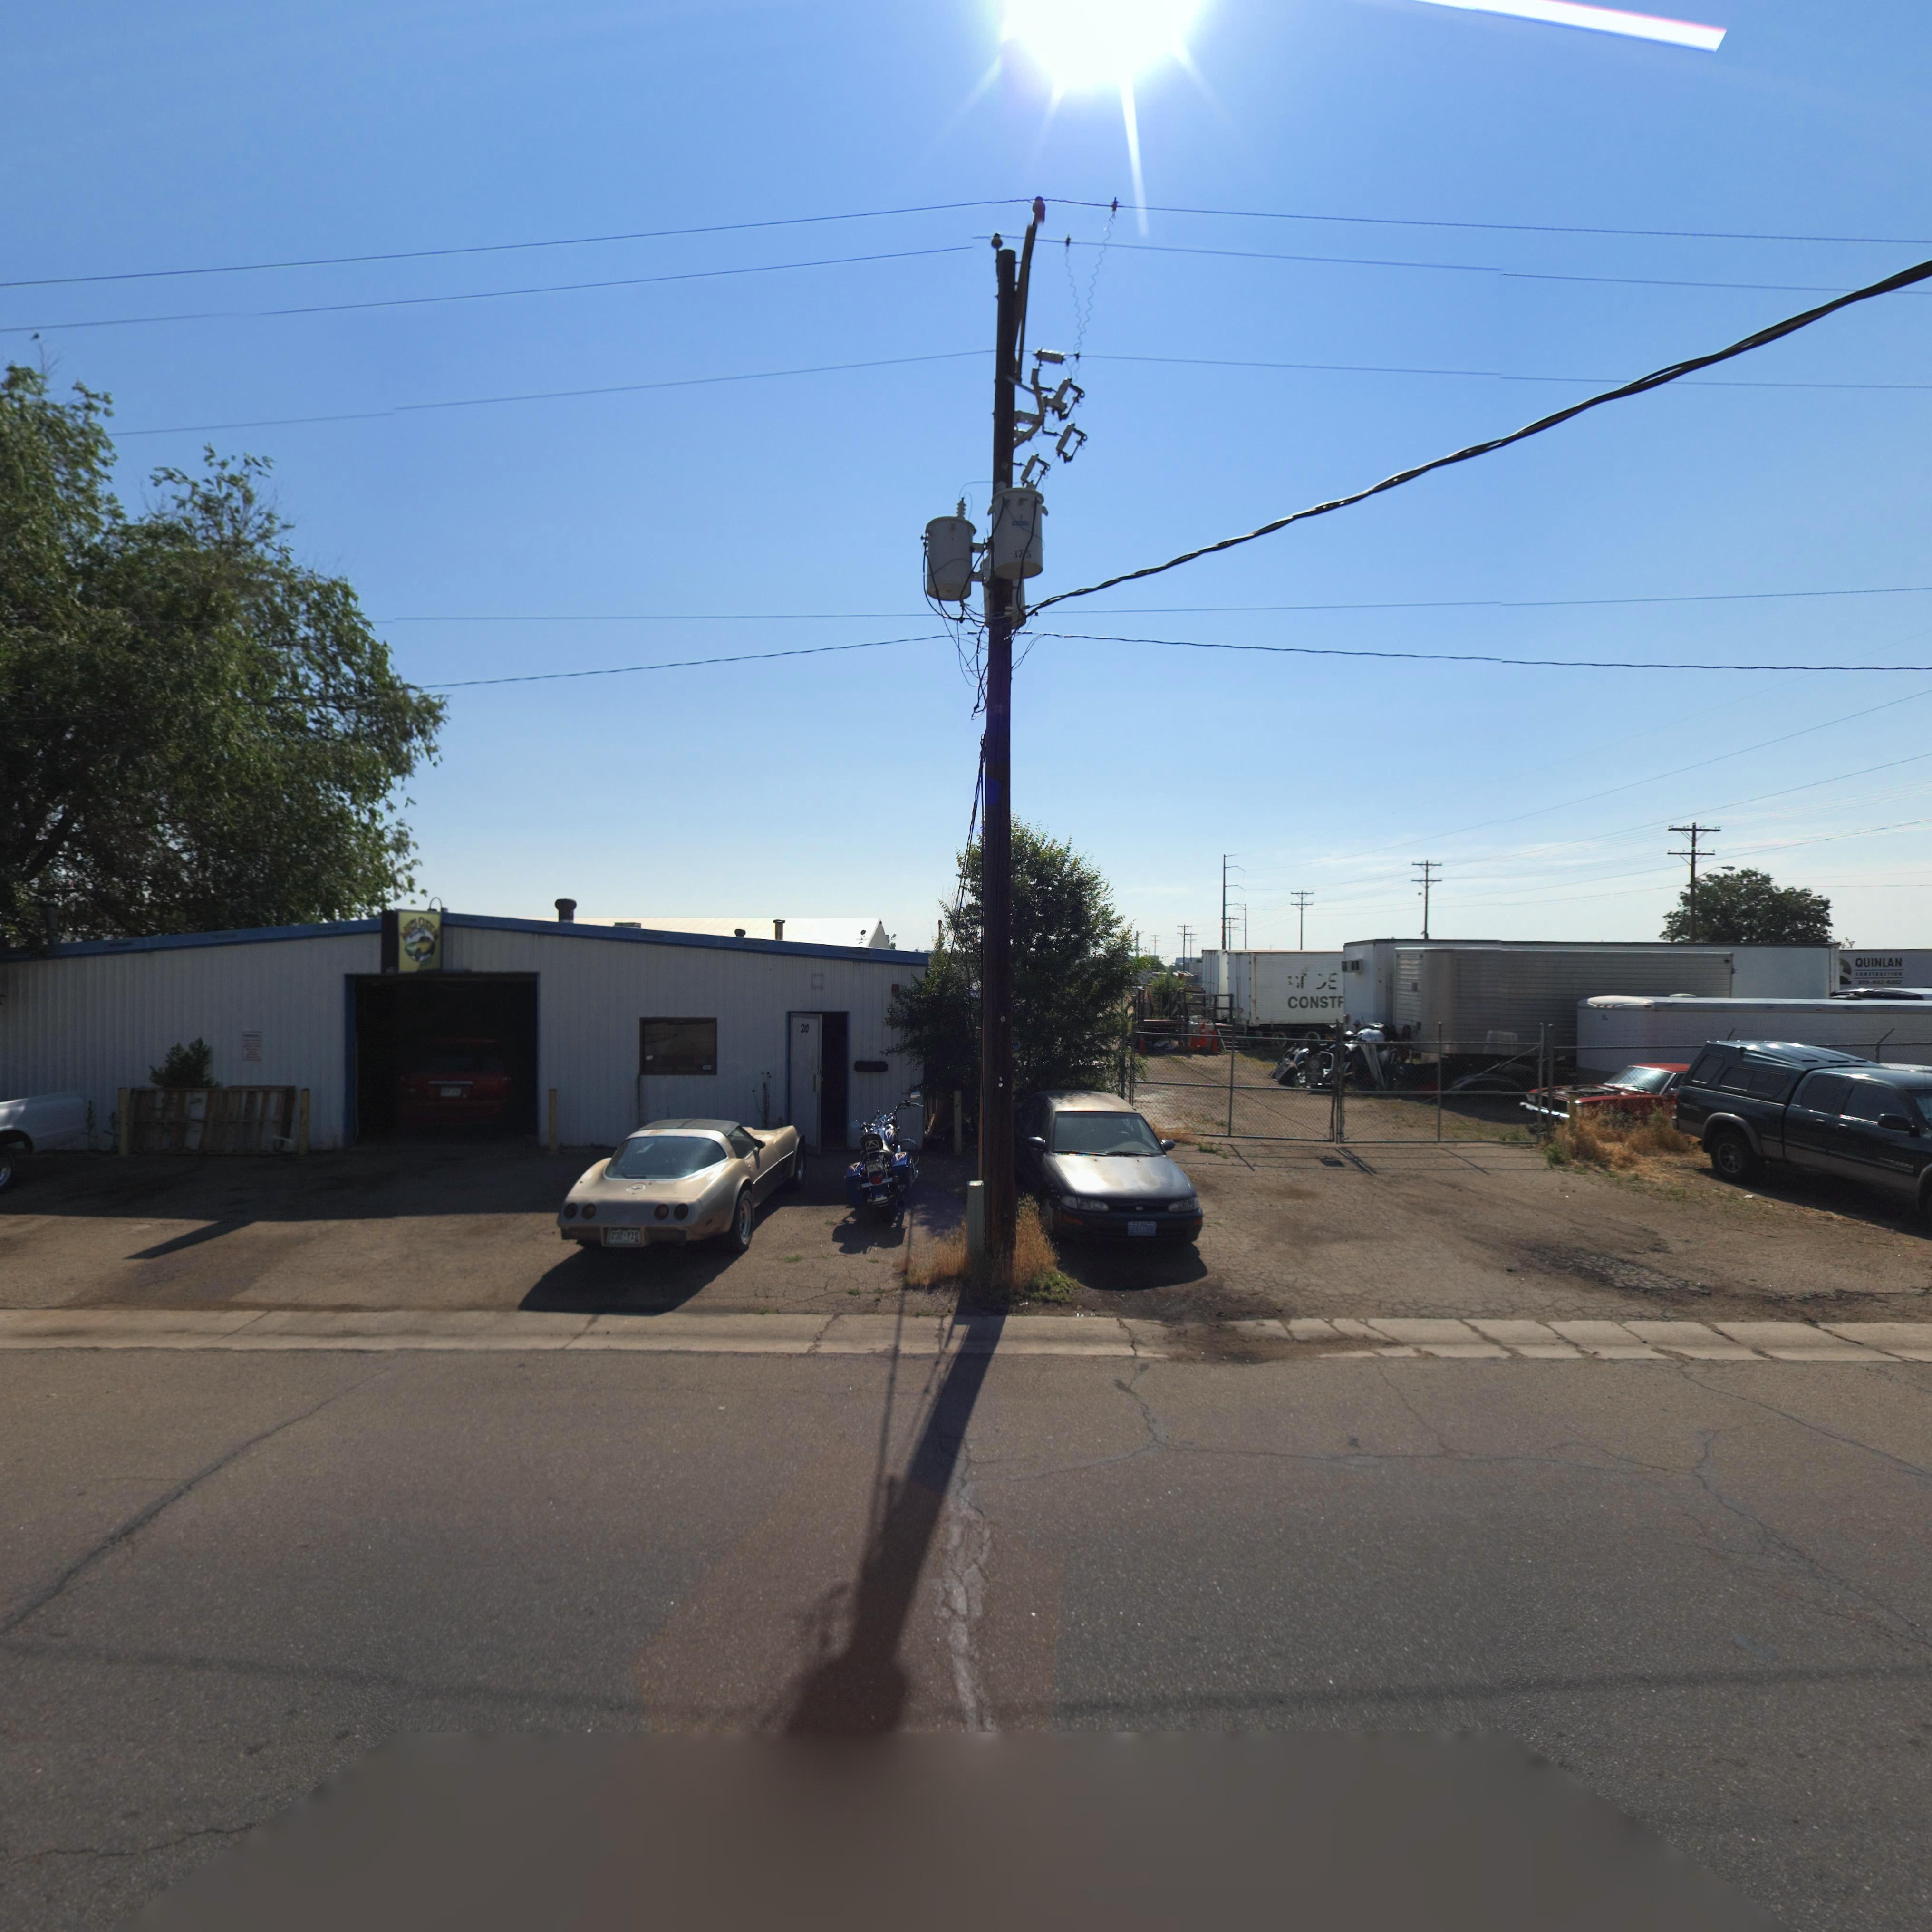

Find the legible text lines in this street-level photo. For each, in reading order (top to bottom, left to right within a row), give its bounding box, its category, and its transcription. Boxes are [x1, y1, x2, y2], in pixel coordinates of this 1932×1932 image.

[399, 916, 440, 942] BusinessName: MRS OE***
[800, 1023, 810, 1033] StreetNumber: 210